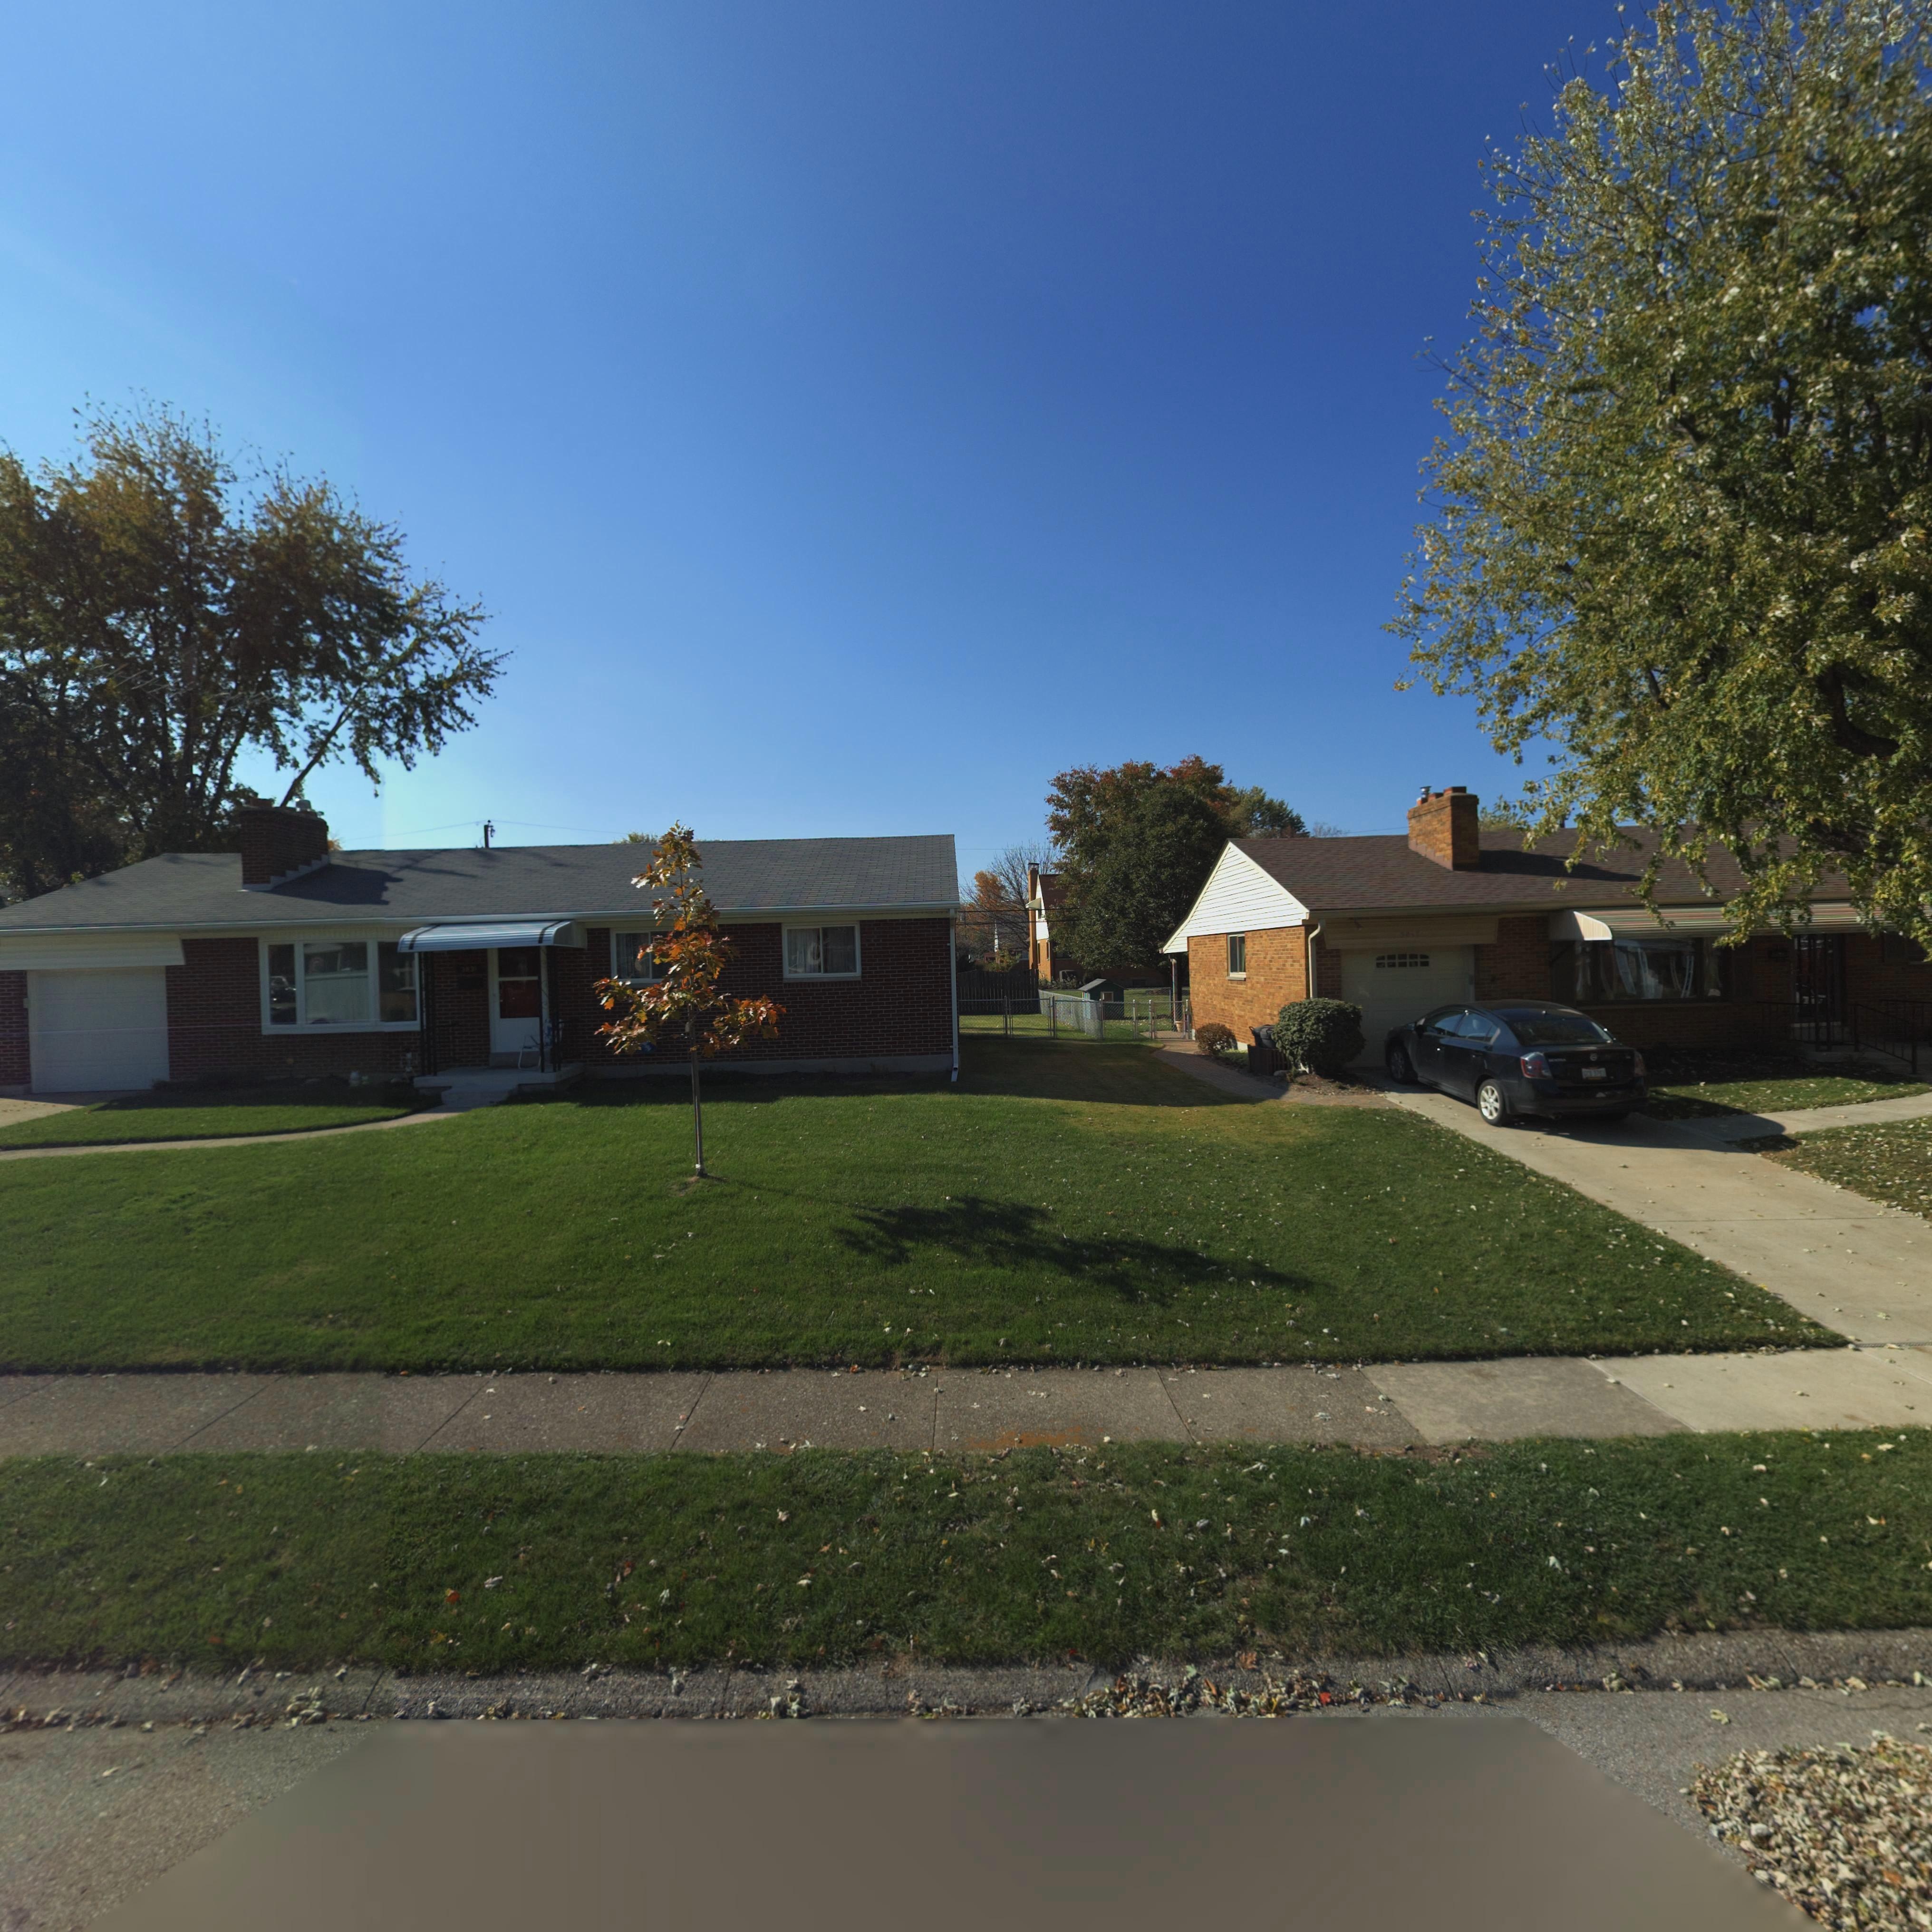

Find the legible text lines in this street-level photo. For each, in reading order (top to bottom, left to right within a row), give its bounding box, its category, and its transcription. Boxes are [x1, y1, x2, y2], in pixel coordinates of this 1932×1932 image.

[459, 964, 479, 974] StreetNumber: **3*